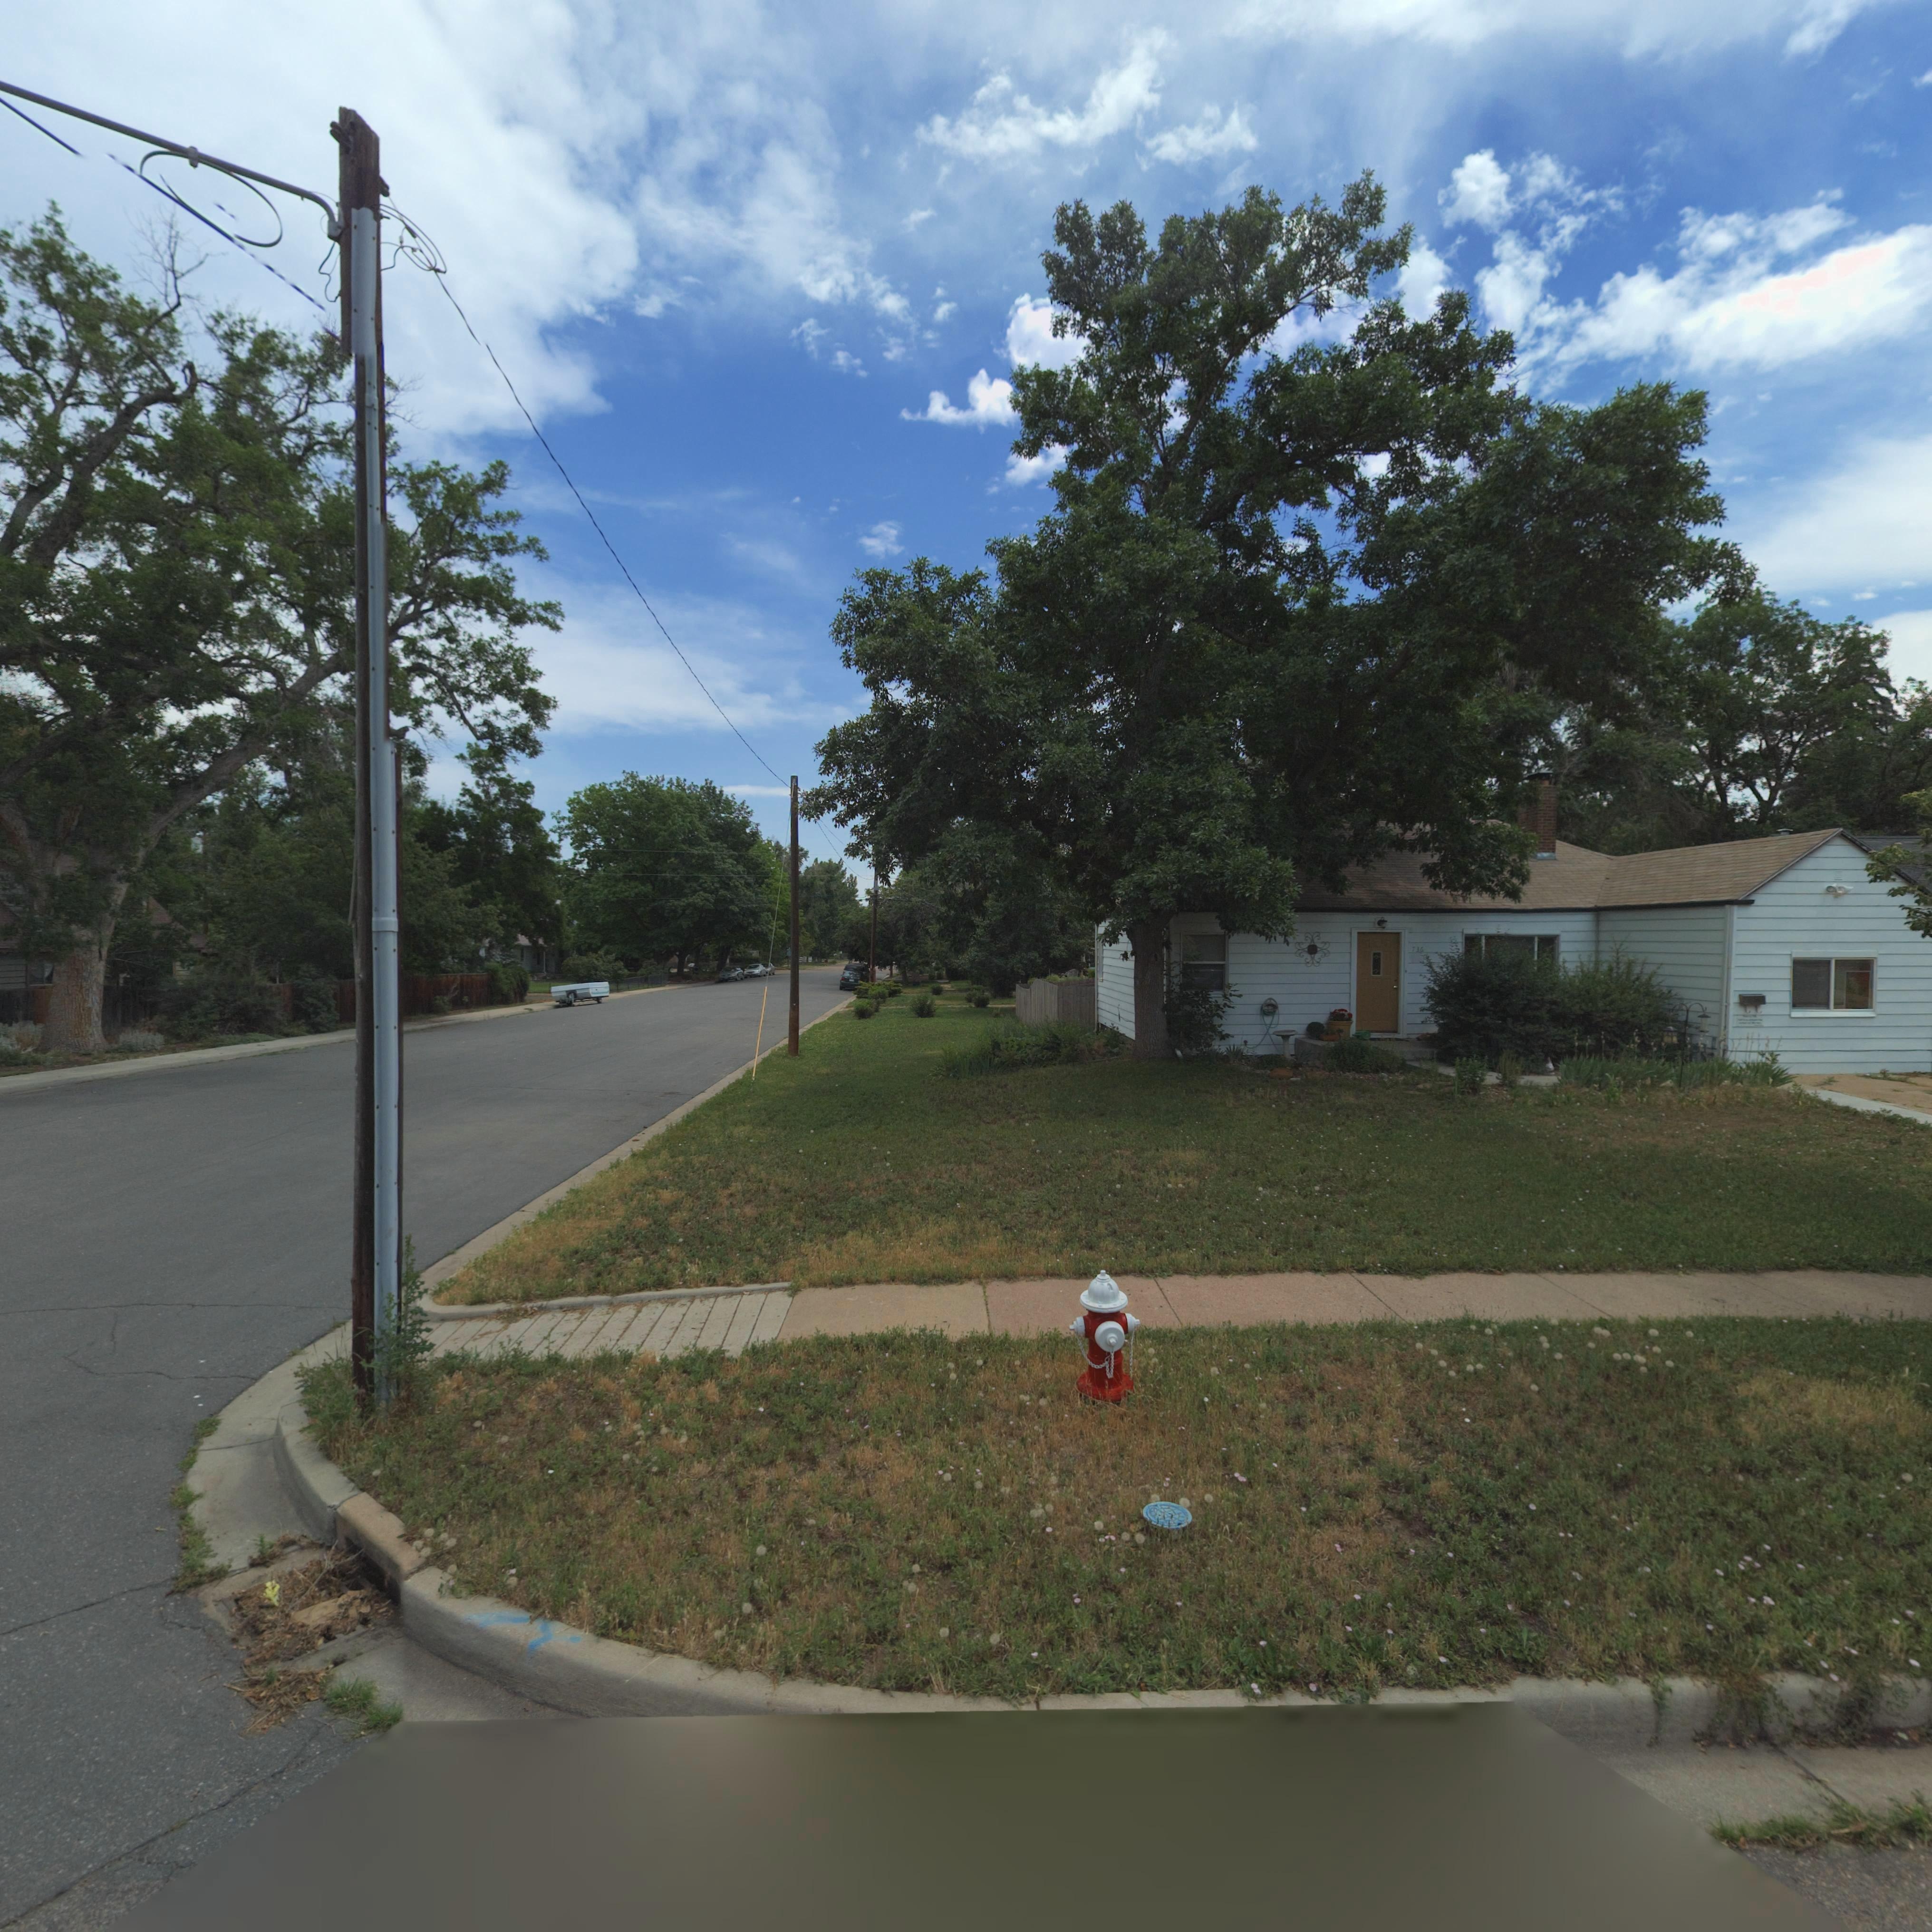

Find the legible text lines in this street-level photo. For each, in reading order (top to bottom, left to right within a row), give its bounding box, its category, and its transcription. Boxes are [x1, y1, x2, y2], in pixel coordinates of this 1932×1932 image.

[1411, 946, 1424, 952] StreetNumber: 7*6